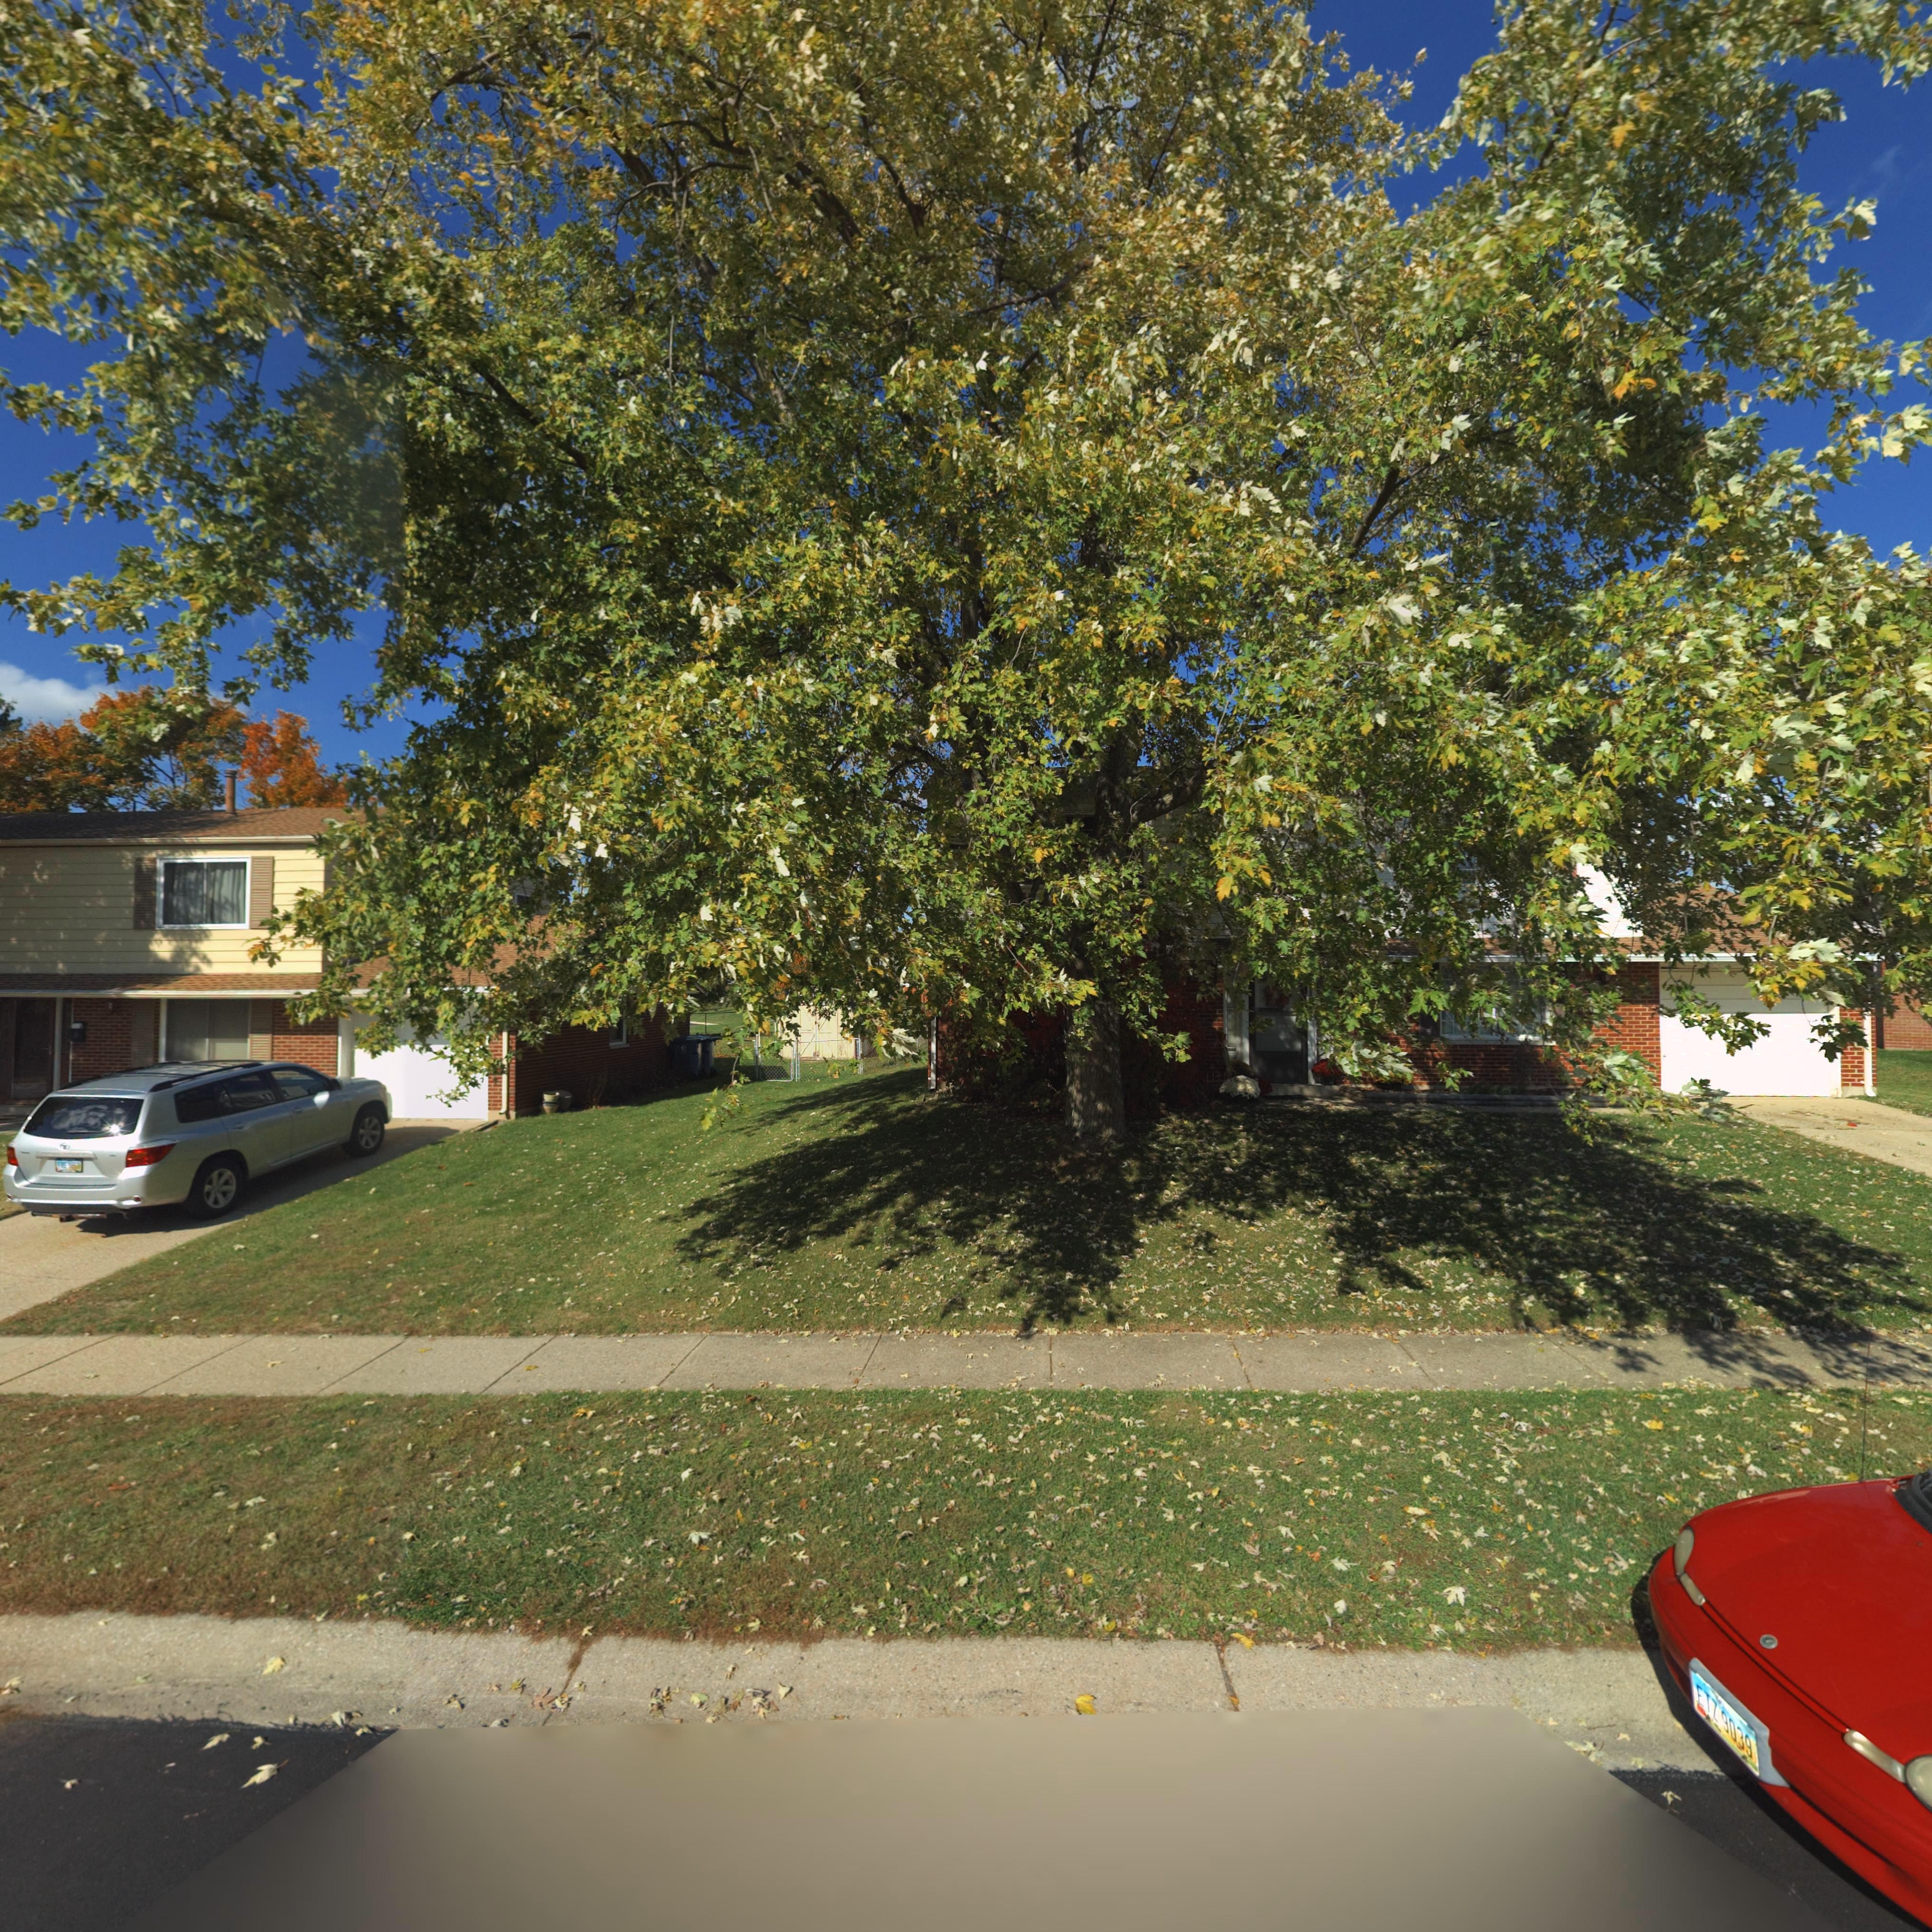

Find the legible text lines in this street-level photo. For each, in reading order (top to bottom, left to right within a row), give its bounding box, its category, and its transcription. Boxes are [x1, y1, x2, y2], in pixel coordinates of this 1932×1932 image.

[1309, 990, 1313, 996] StreetNumber: 6